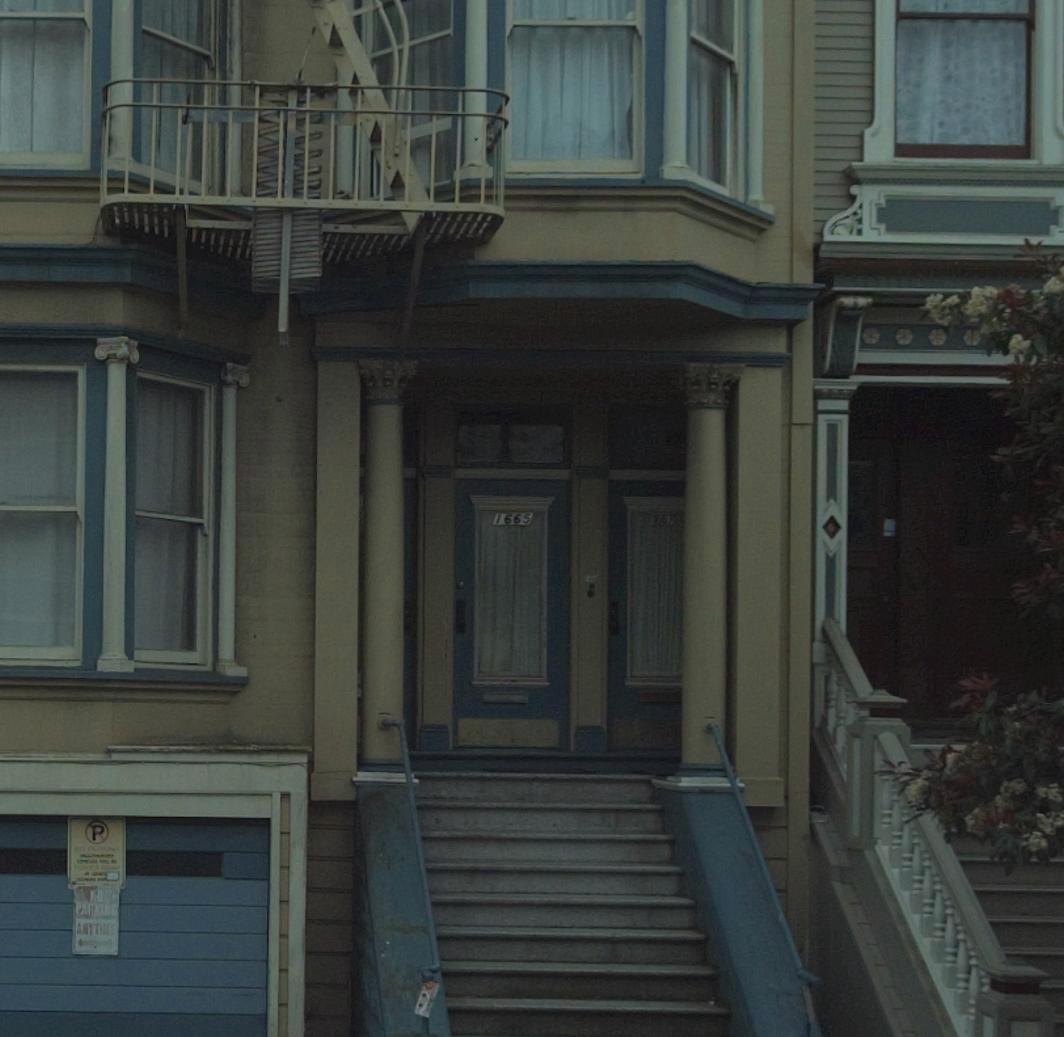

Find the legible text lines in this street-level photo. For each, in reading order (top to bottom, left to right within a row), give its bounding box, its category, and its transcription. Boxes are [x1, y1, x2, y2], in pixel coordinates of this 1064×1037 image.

[493, 512, 531, 525] StreetNumber: 1665
[75, 920, 116, 936] None: ANYTIME